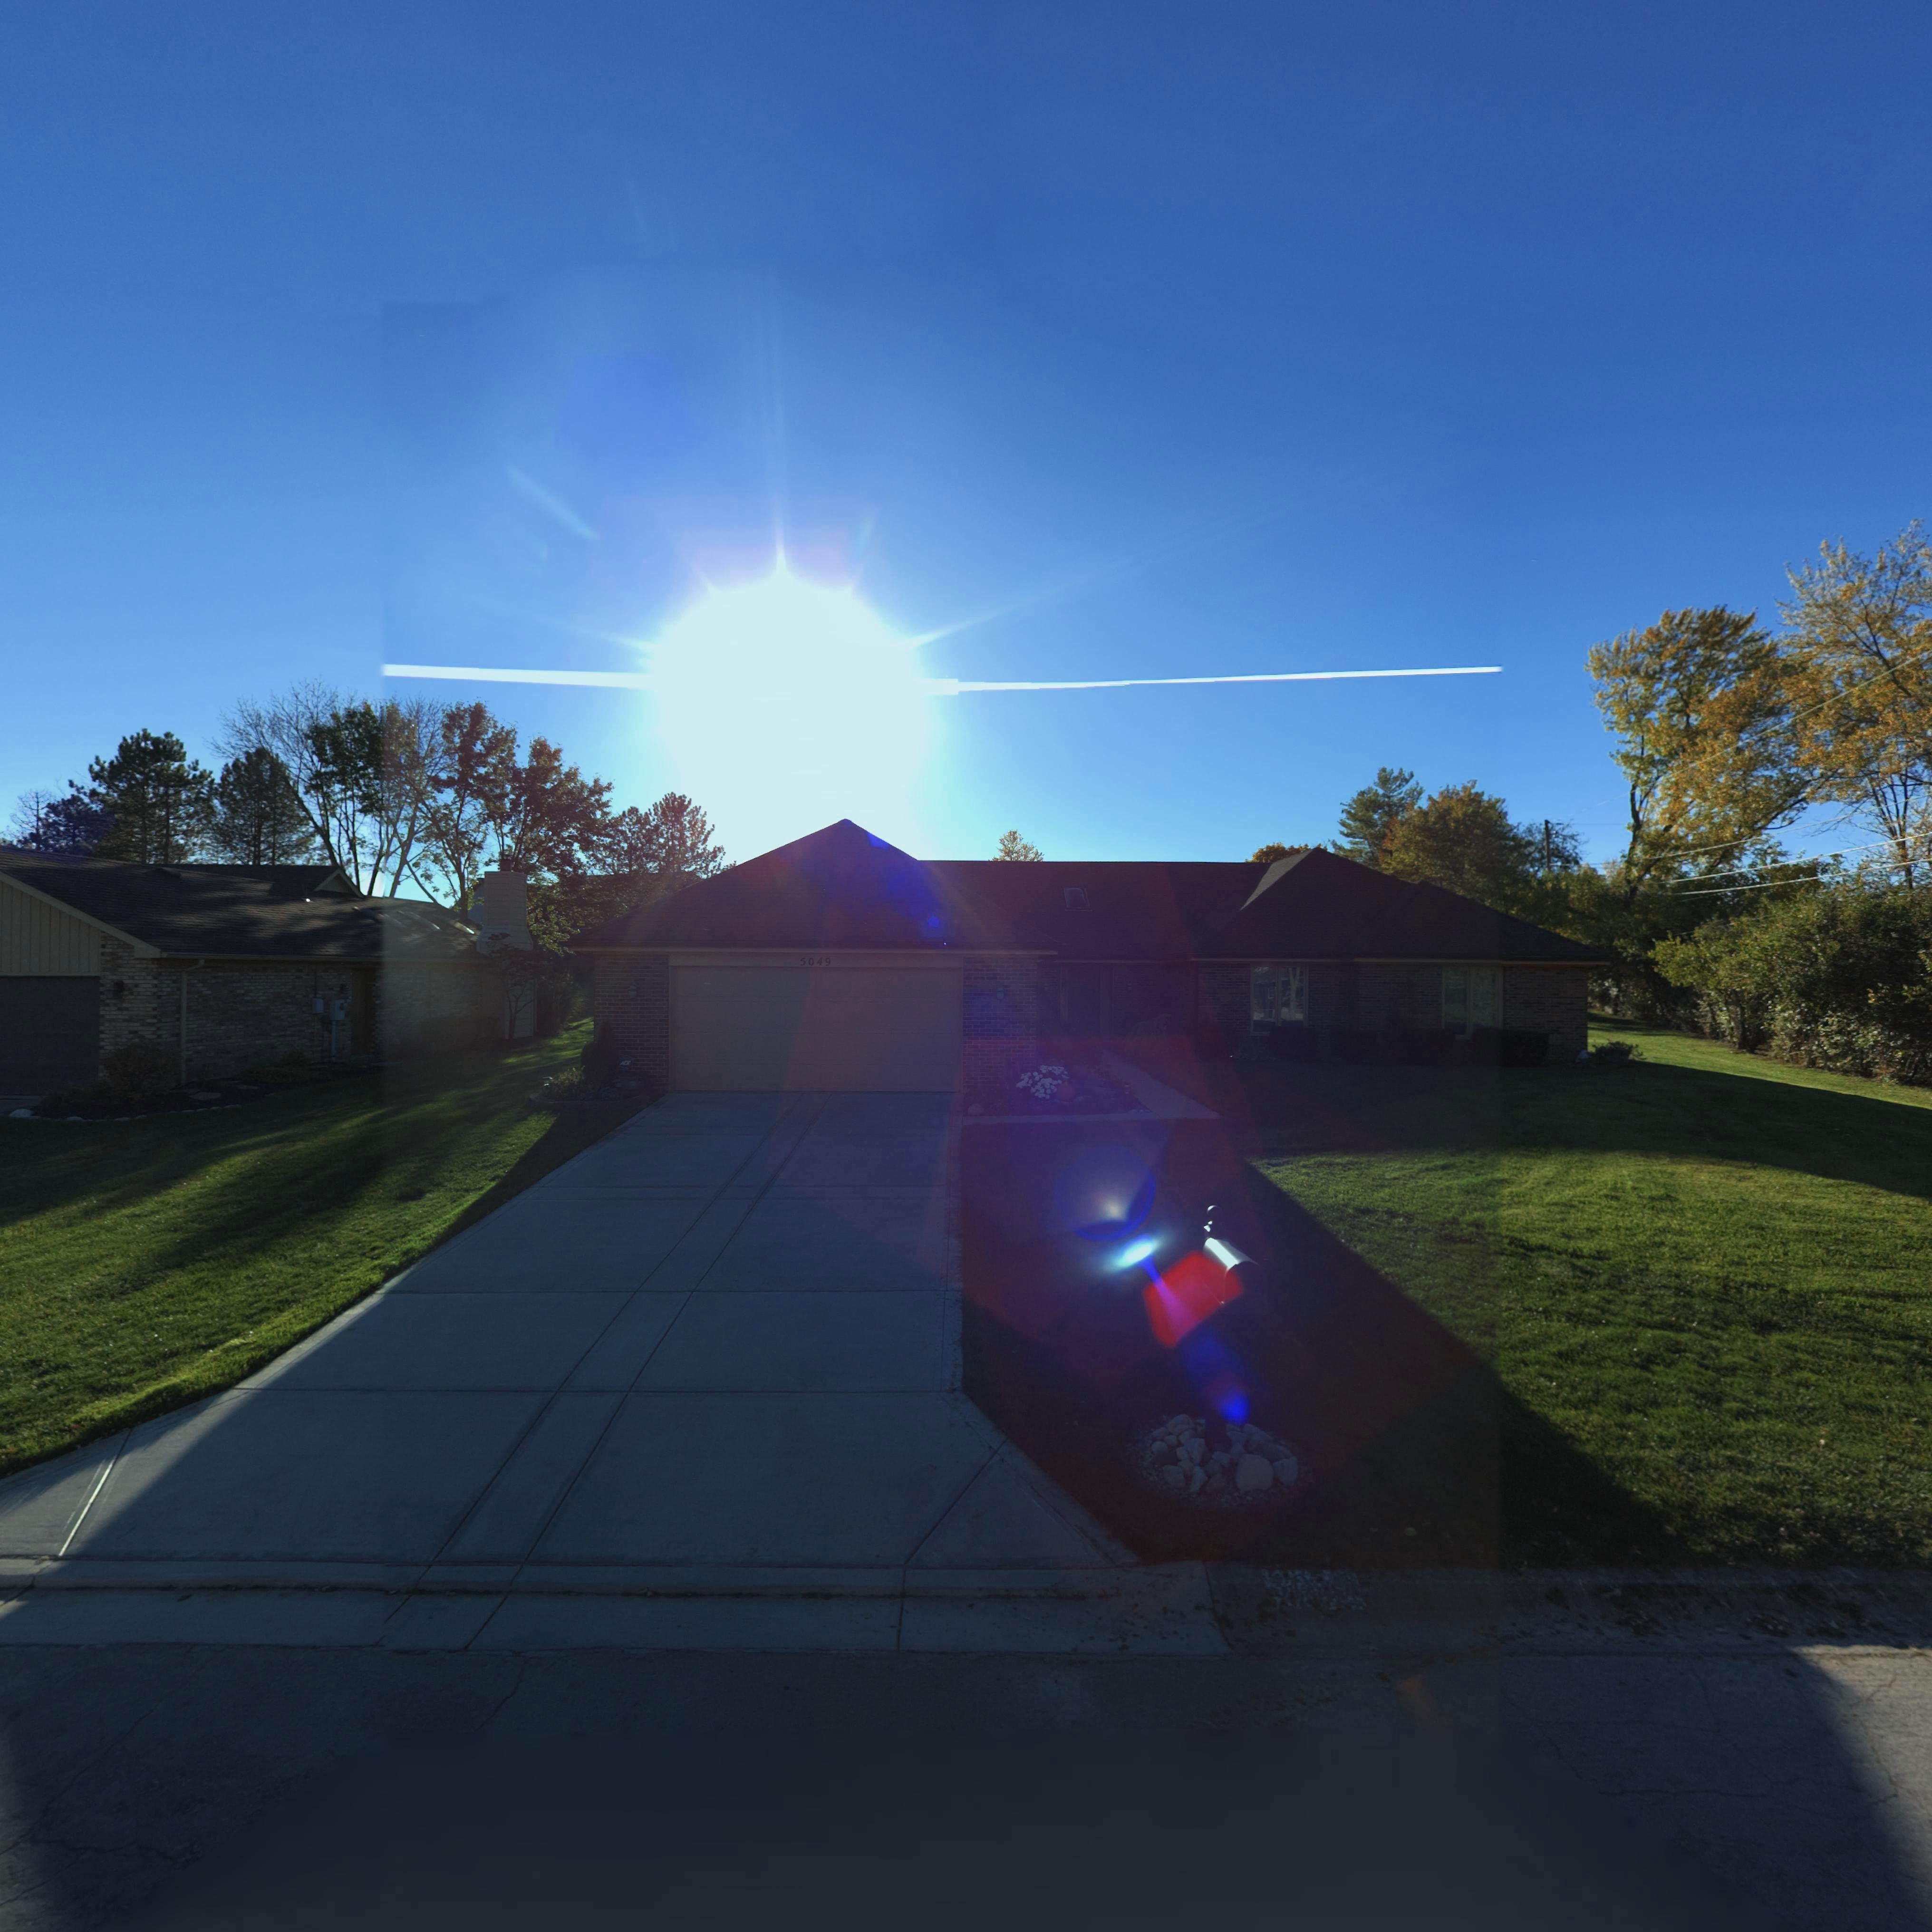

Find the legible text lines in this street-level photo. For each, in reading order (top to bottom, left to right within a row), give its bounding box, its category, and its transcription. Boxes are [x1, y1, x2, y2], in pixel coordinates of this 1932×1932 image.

[799, 956, 832, 967] StreetNumber: 5049